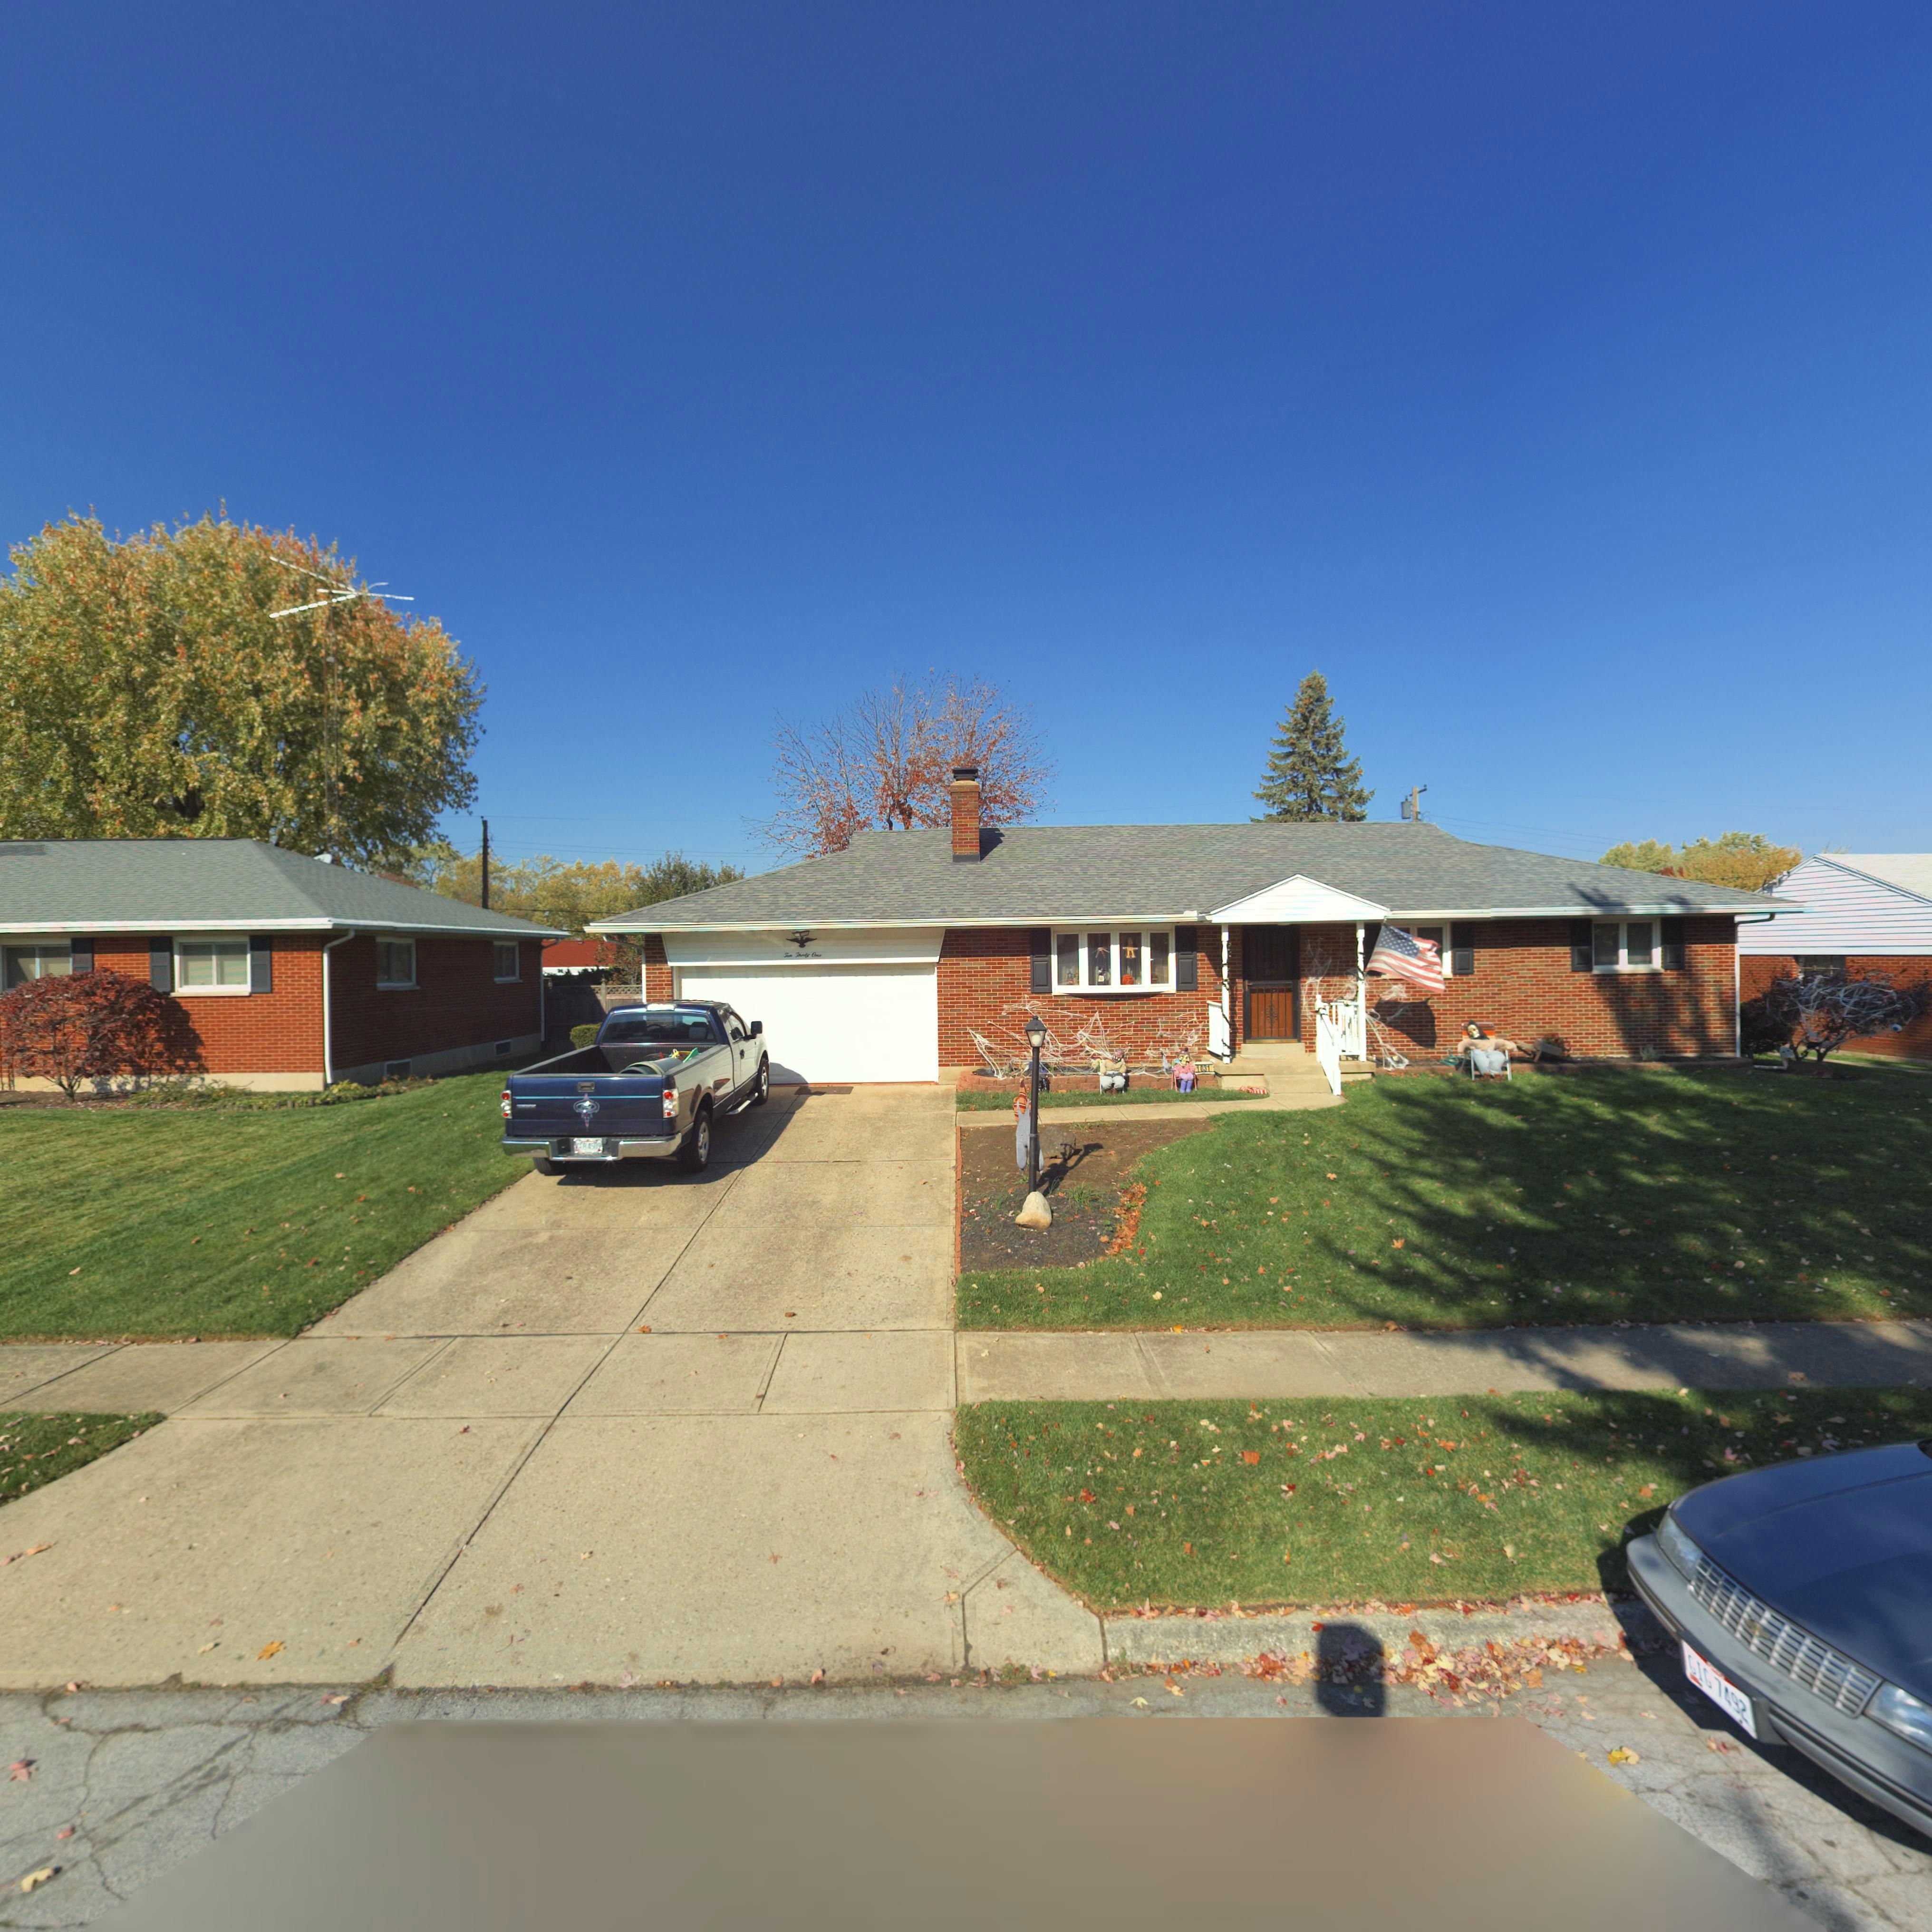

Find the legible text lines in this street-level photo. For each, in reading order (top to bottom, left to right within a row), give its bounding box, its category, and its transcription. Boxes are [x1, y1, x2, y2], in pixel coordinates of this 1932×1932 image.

[783, 952, 823, 958] StreetNumber: Ten Thirty One
[1196, 1064, 1210, 1072] StreetNumber: 1031